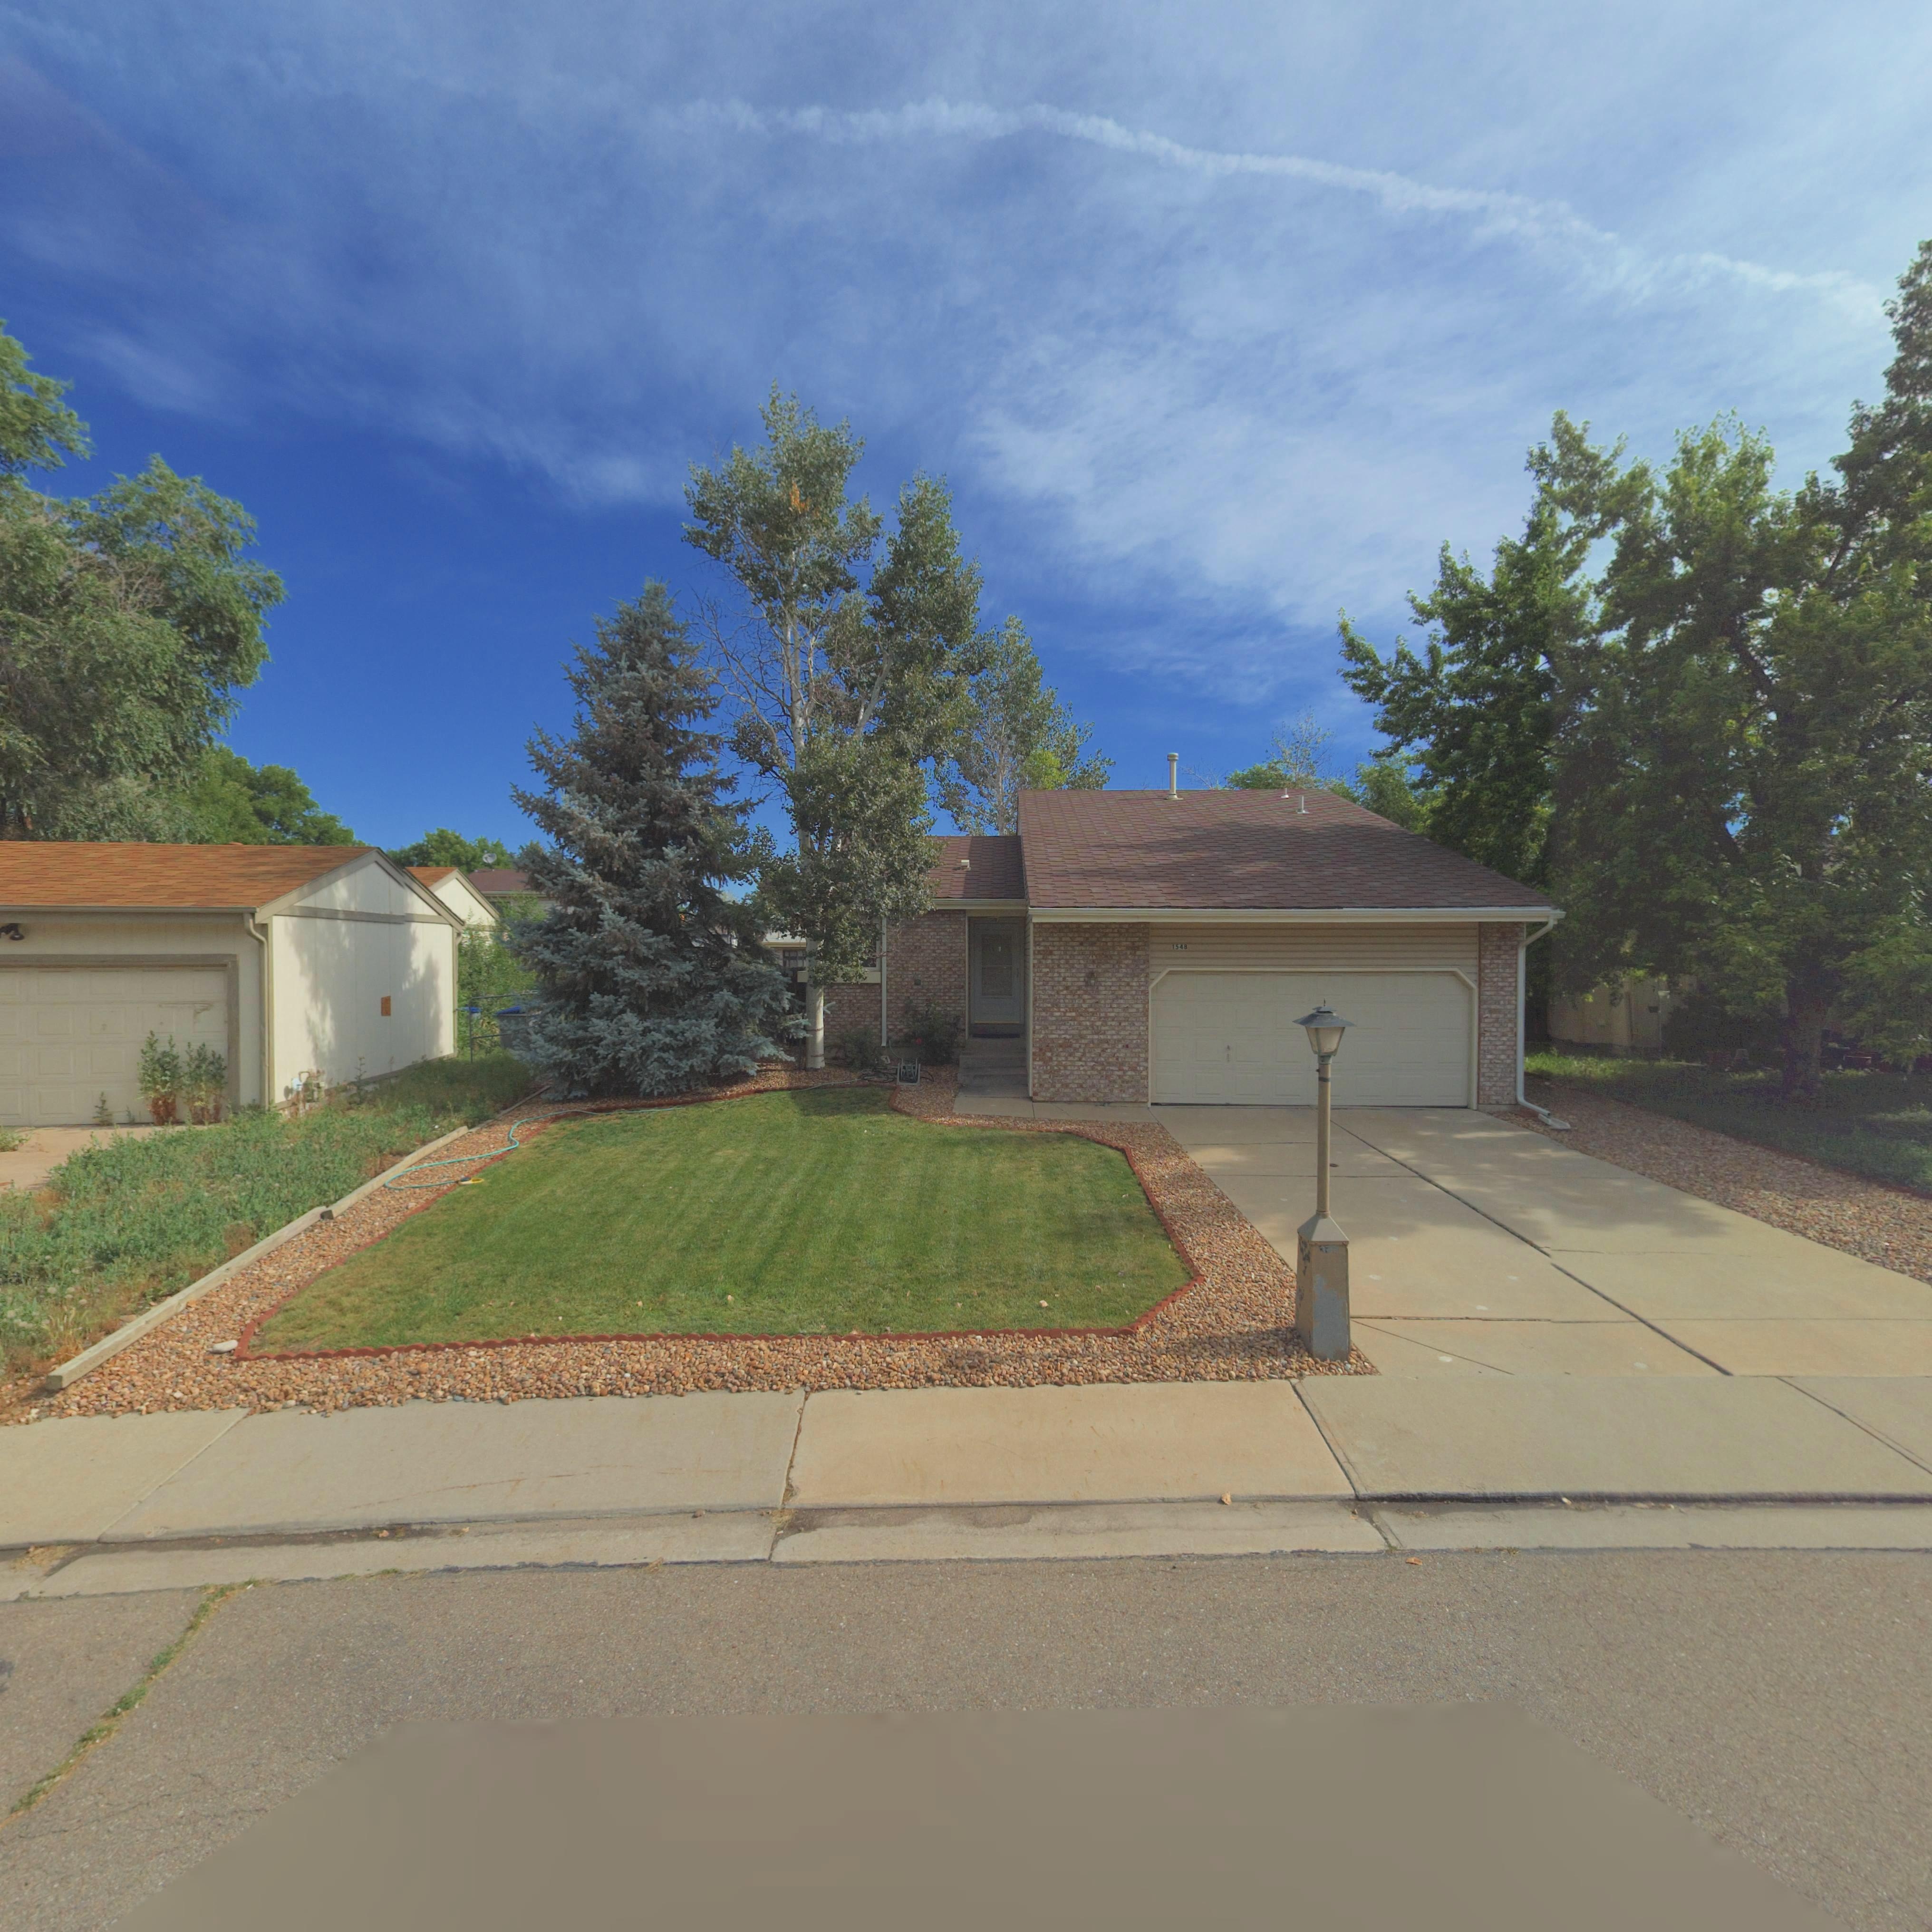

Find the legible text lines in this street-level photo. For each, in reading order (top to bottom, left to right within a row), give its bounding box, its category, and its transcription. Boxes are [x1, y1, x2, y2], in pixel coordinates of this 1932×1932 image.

[1172, 943, 1187, 949] StreetNumber: 1548